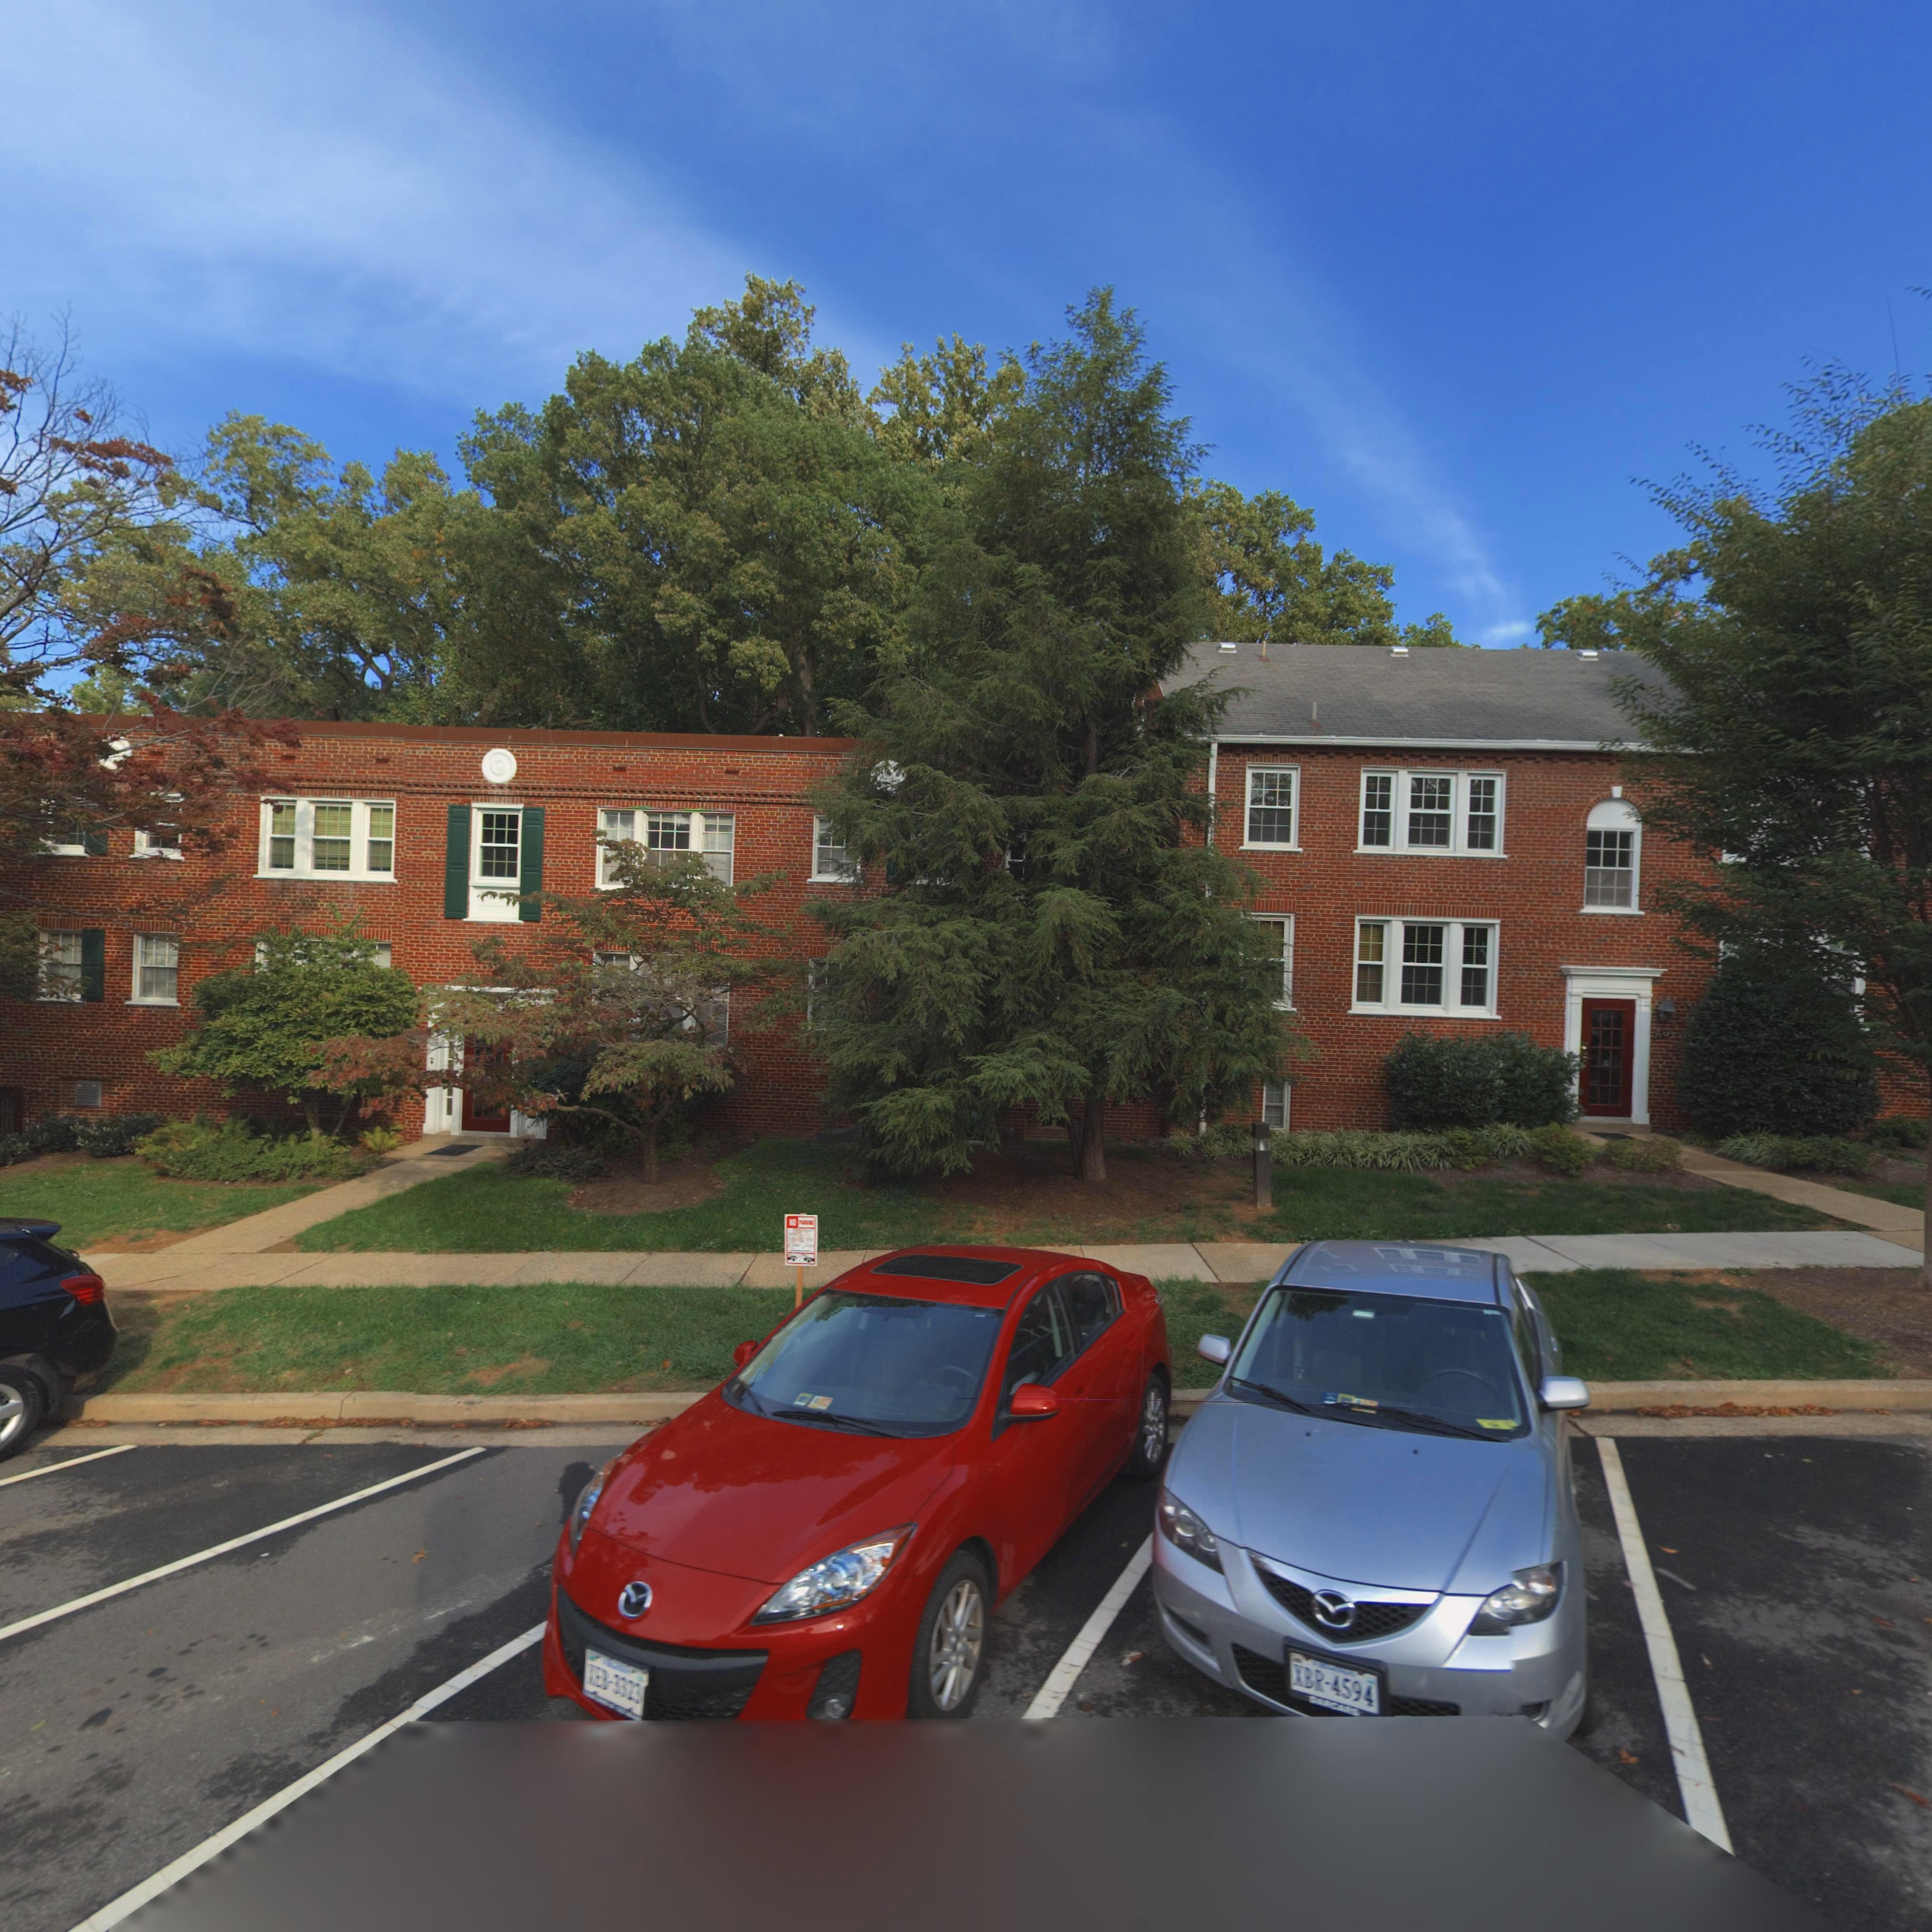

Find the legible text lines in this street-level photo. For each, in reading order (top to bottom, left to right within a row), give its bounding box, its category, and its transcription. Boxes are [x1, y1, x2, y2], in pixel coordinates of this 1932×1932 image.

[610, 1671, 645, 1708] None: 3323
[1291, 1660, 1375, 1712] None: XBR-4594